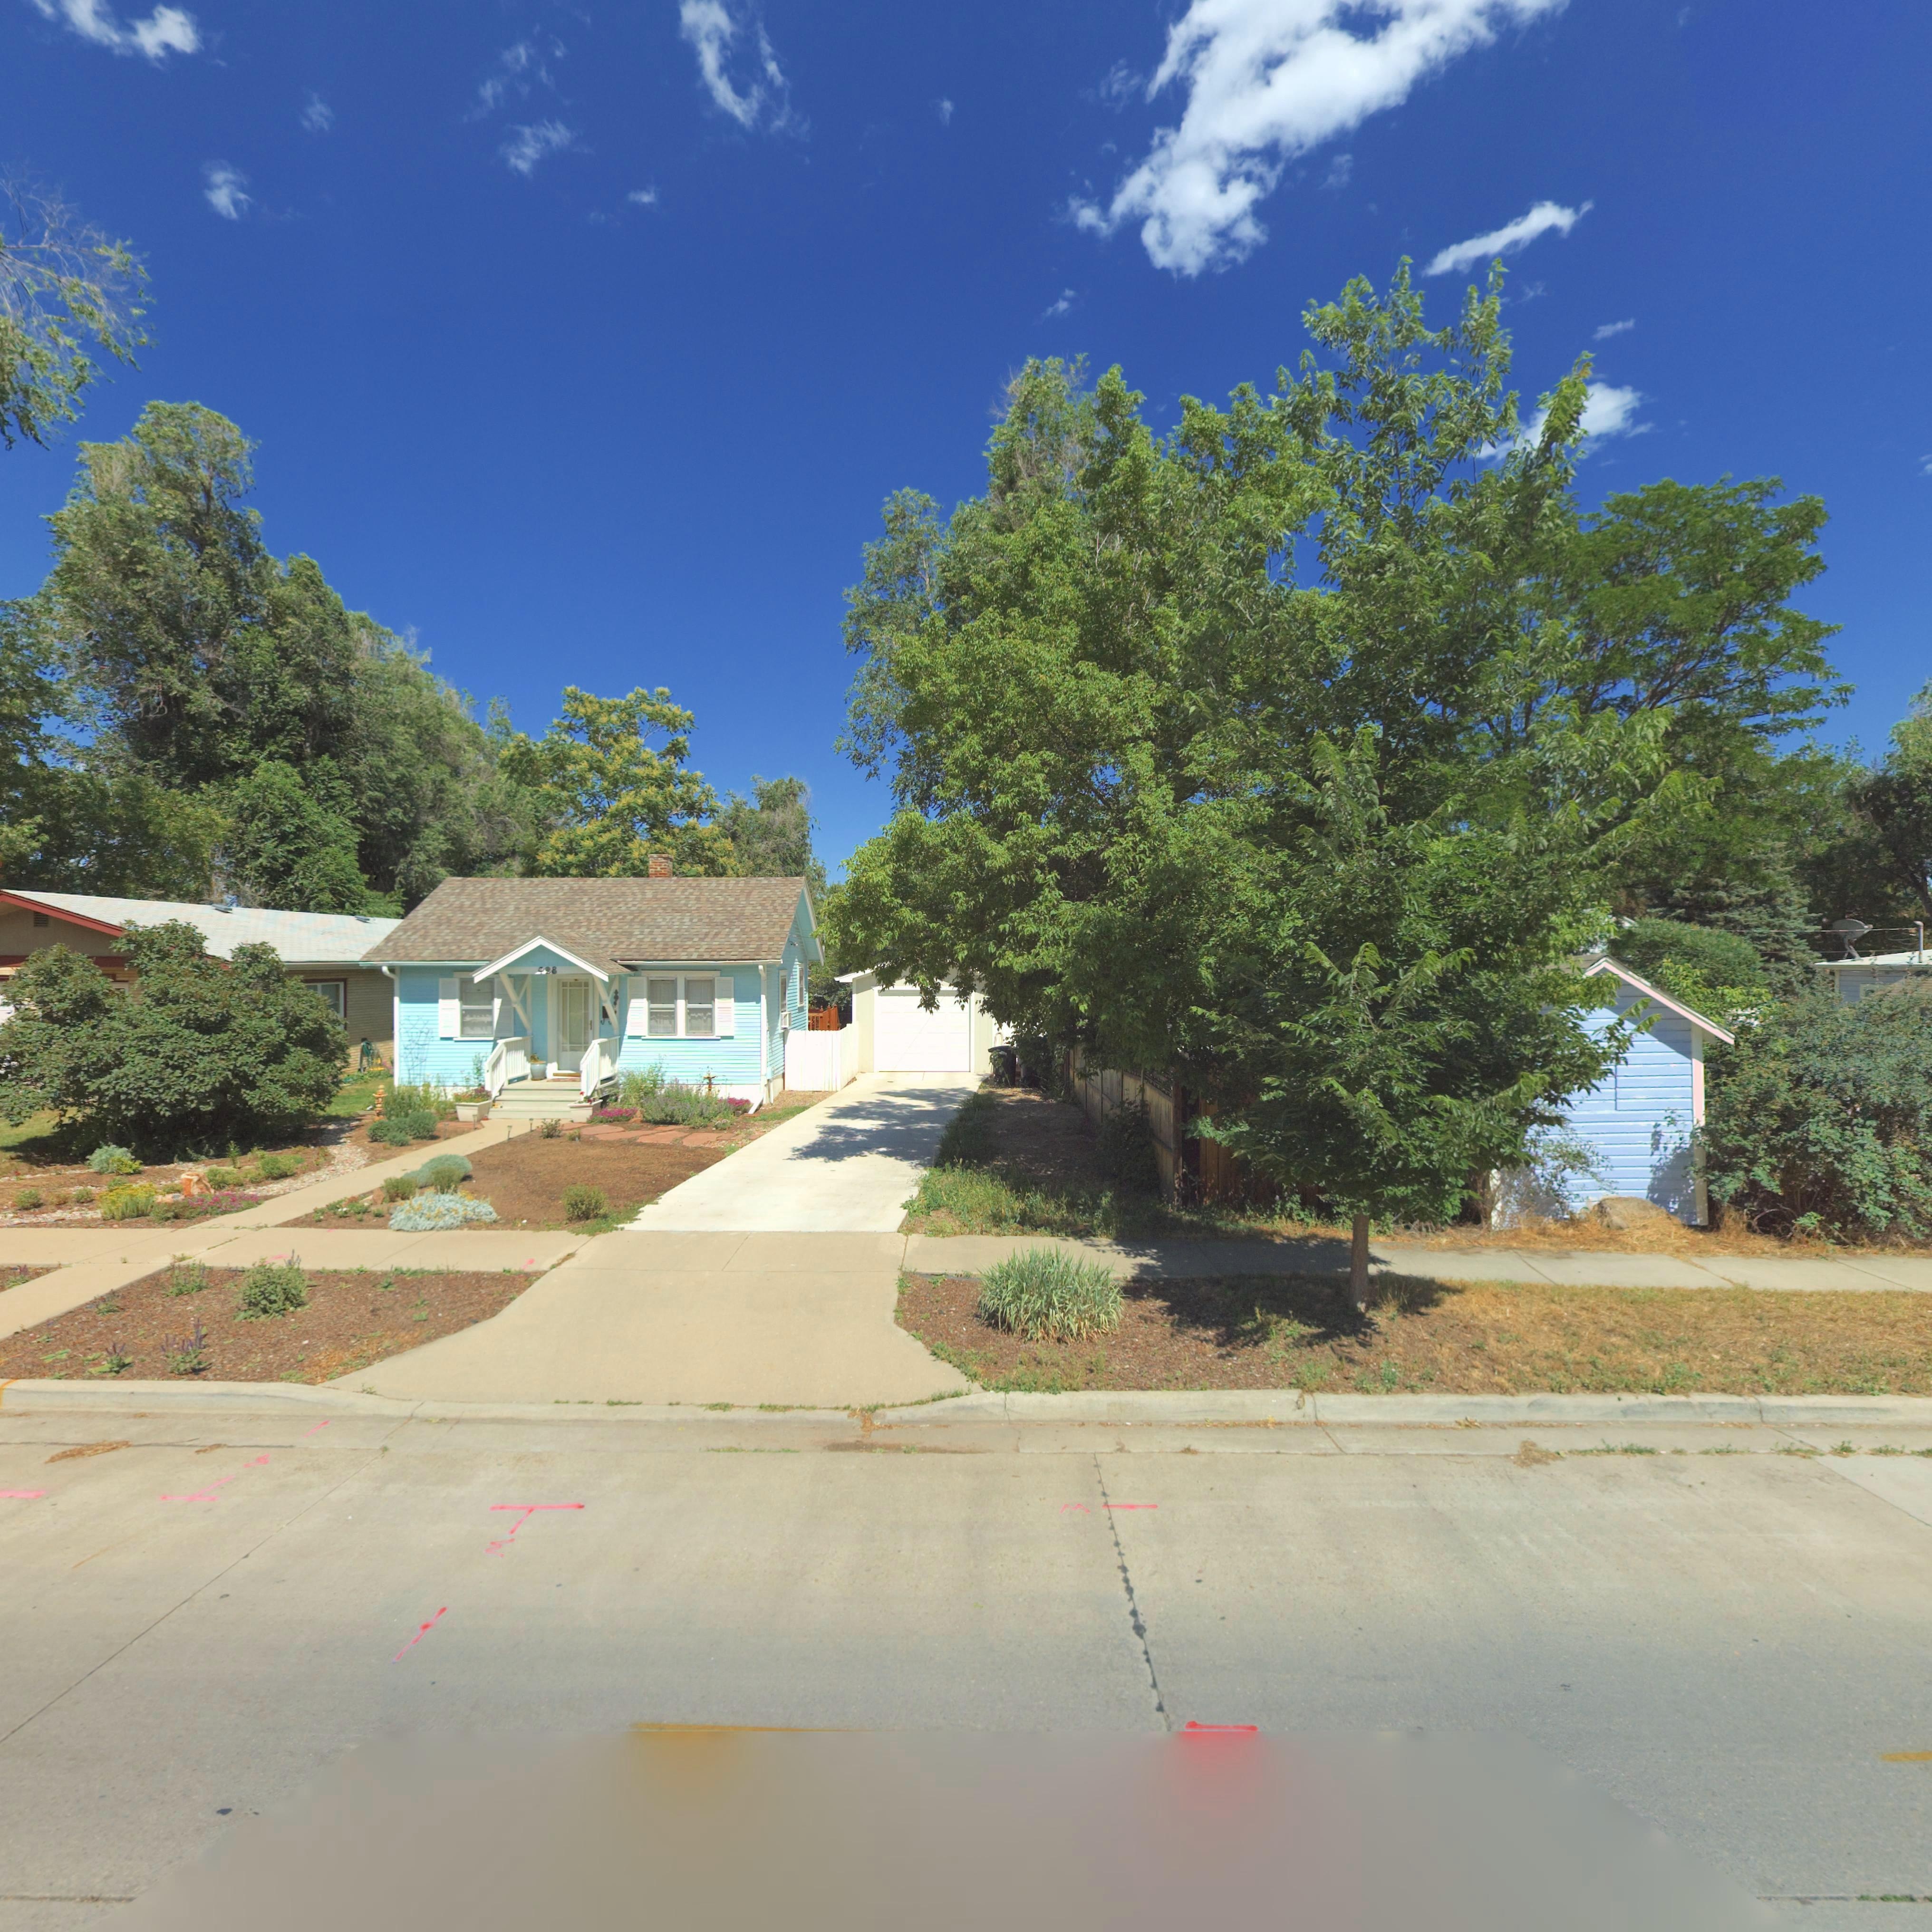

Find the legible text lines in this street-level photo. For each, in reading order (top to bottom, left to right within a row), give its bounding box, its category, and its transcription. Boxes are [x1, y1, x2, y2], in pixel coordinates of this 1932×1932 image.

[537, 966, 558, 975] StreetNumber: 428